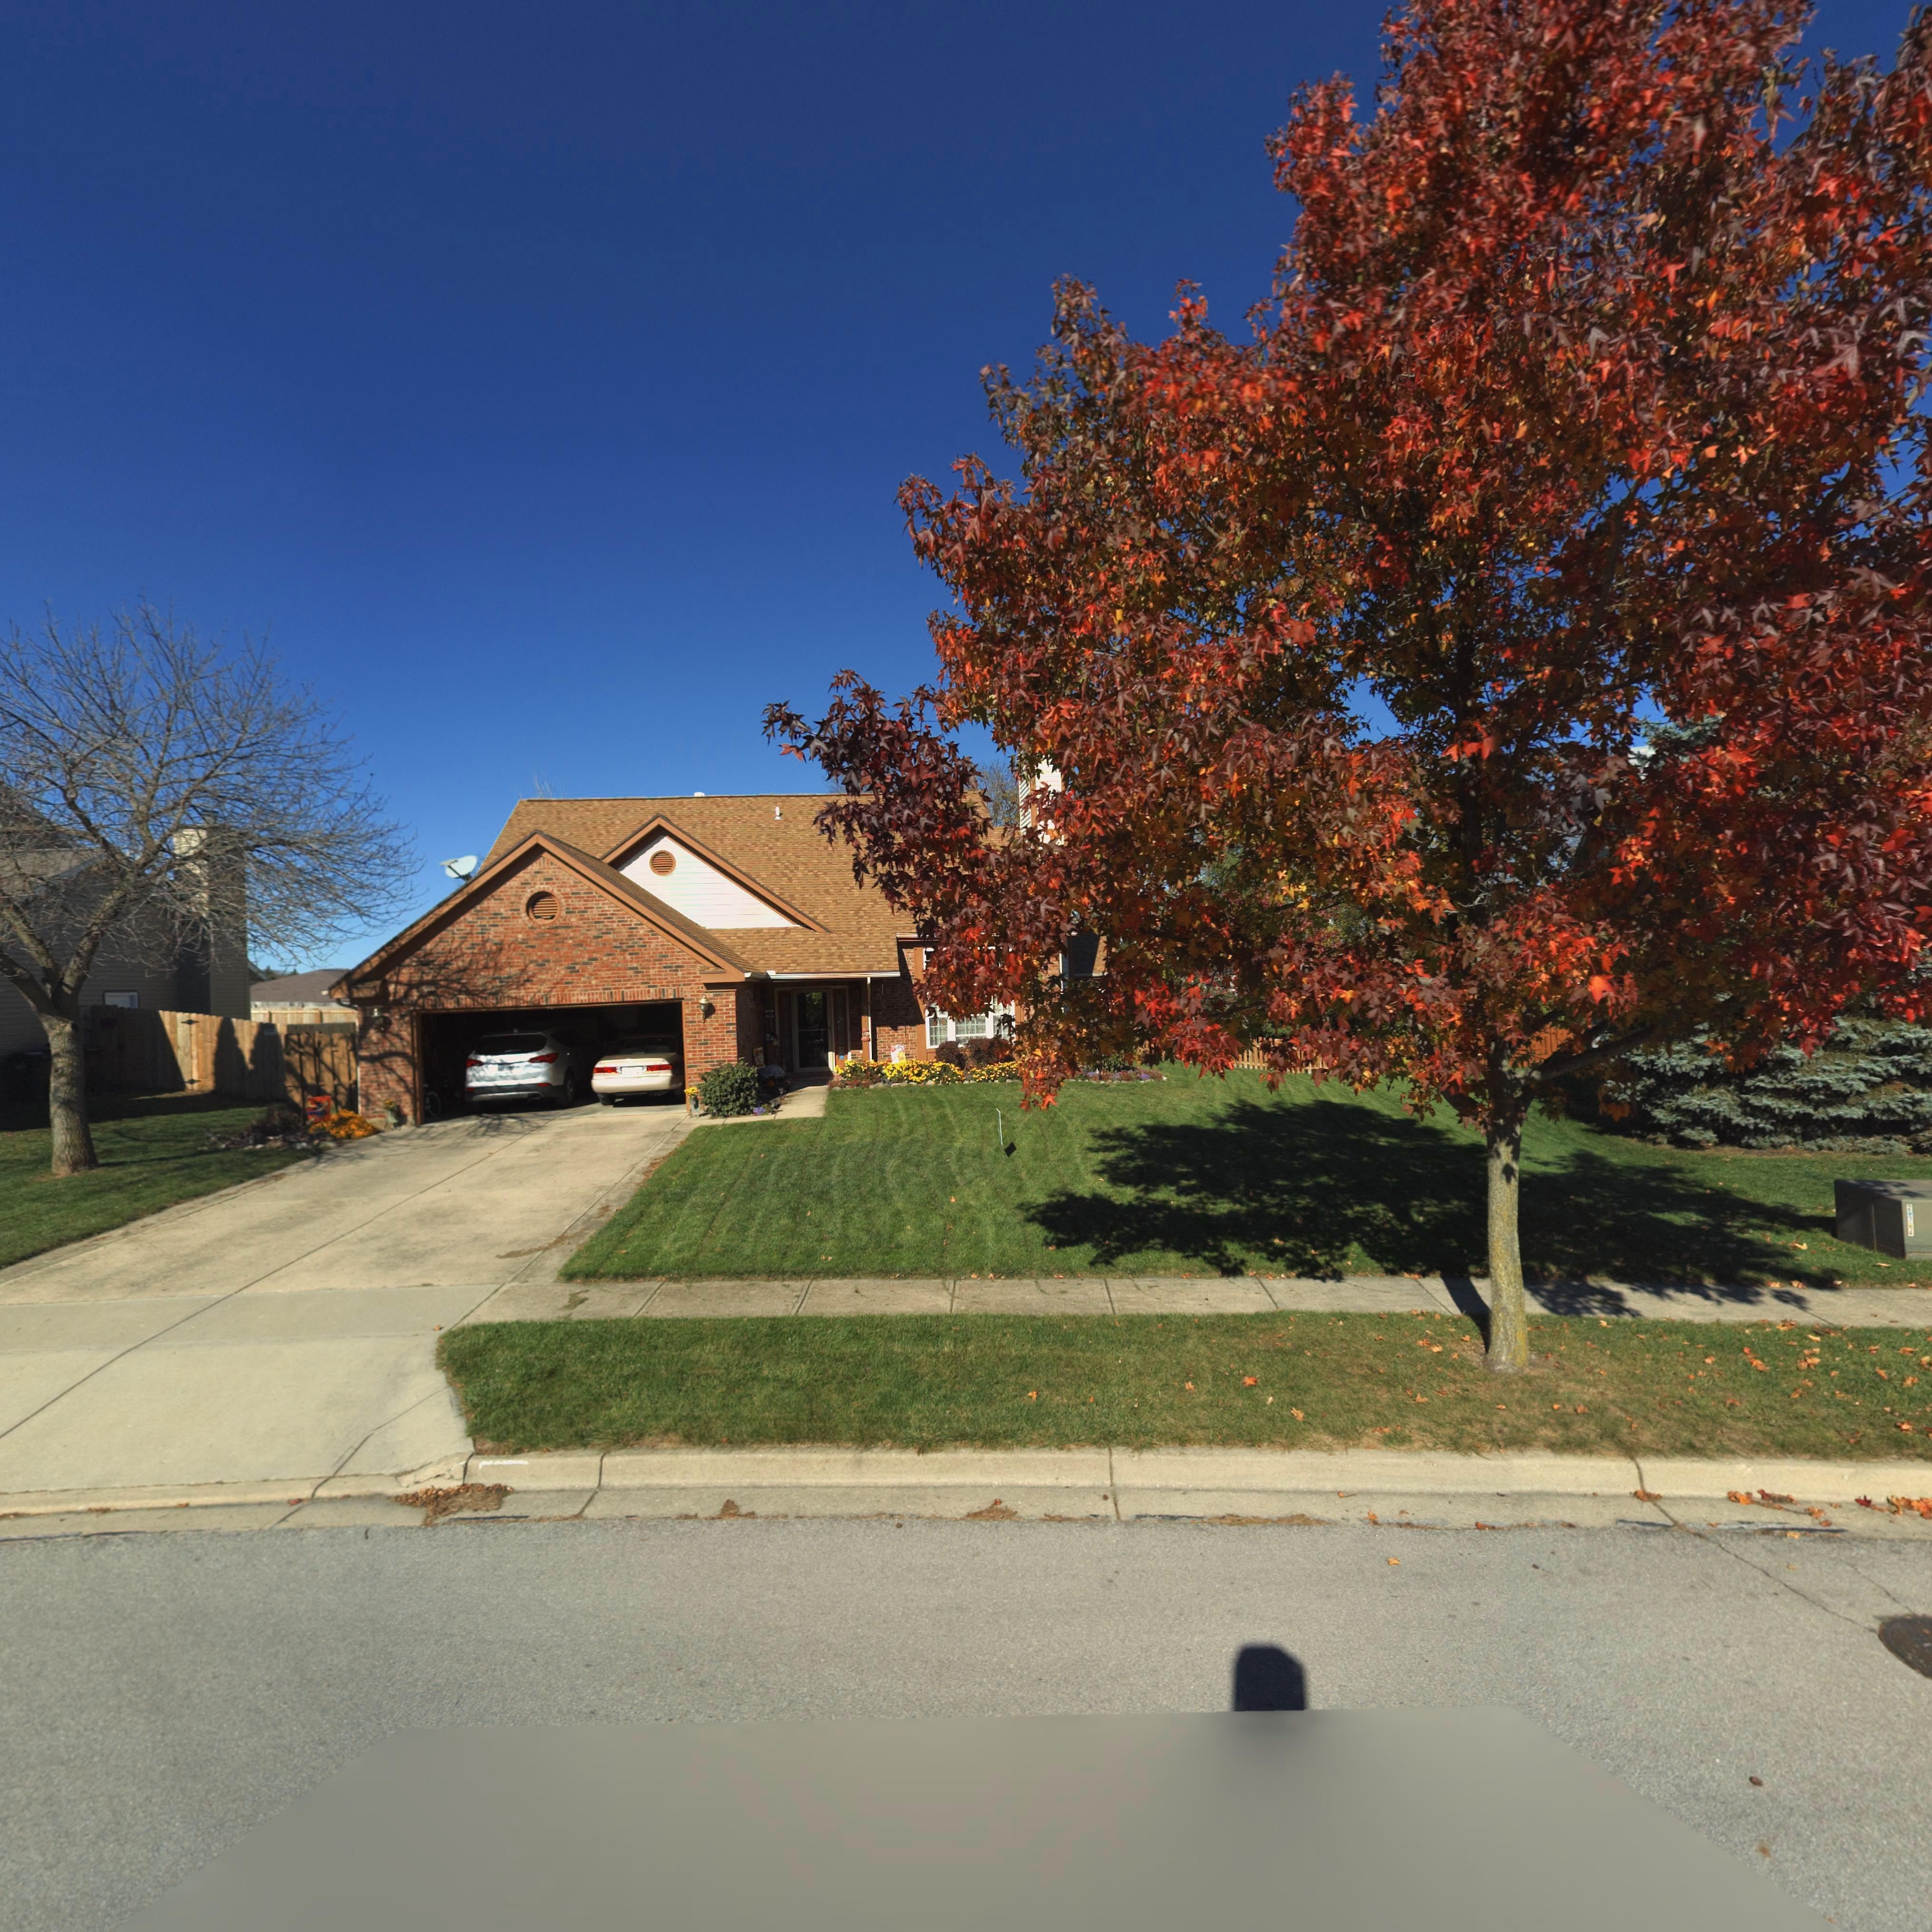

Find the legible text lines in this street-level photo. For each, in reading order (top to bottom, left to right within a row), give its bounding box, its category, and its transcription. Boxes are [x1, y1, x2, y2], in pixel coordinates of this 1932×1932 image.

[862, 1006, 868, 1025] StreetNumber: 3*3